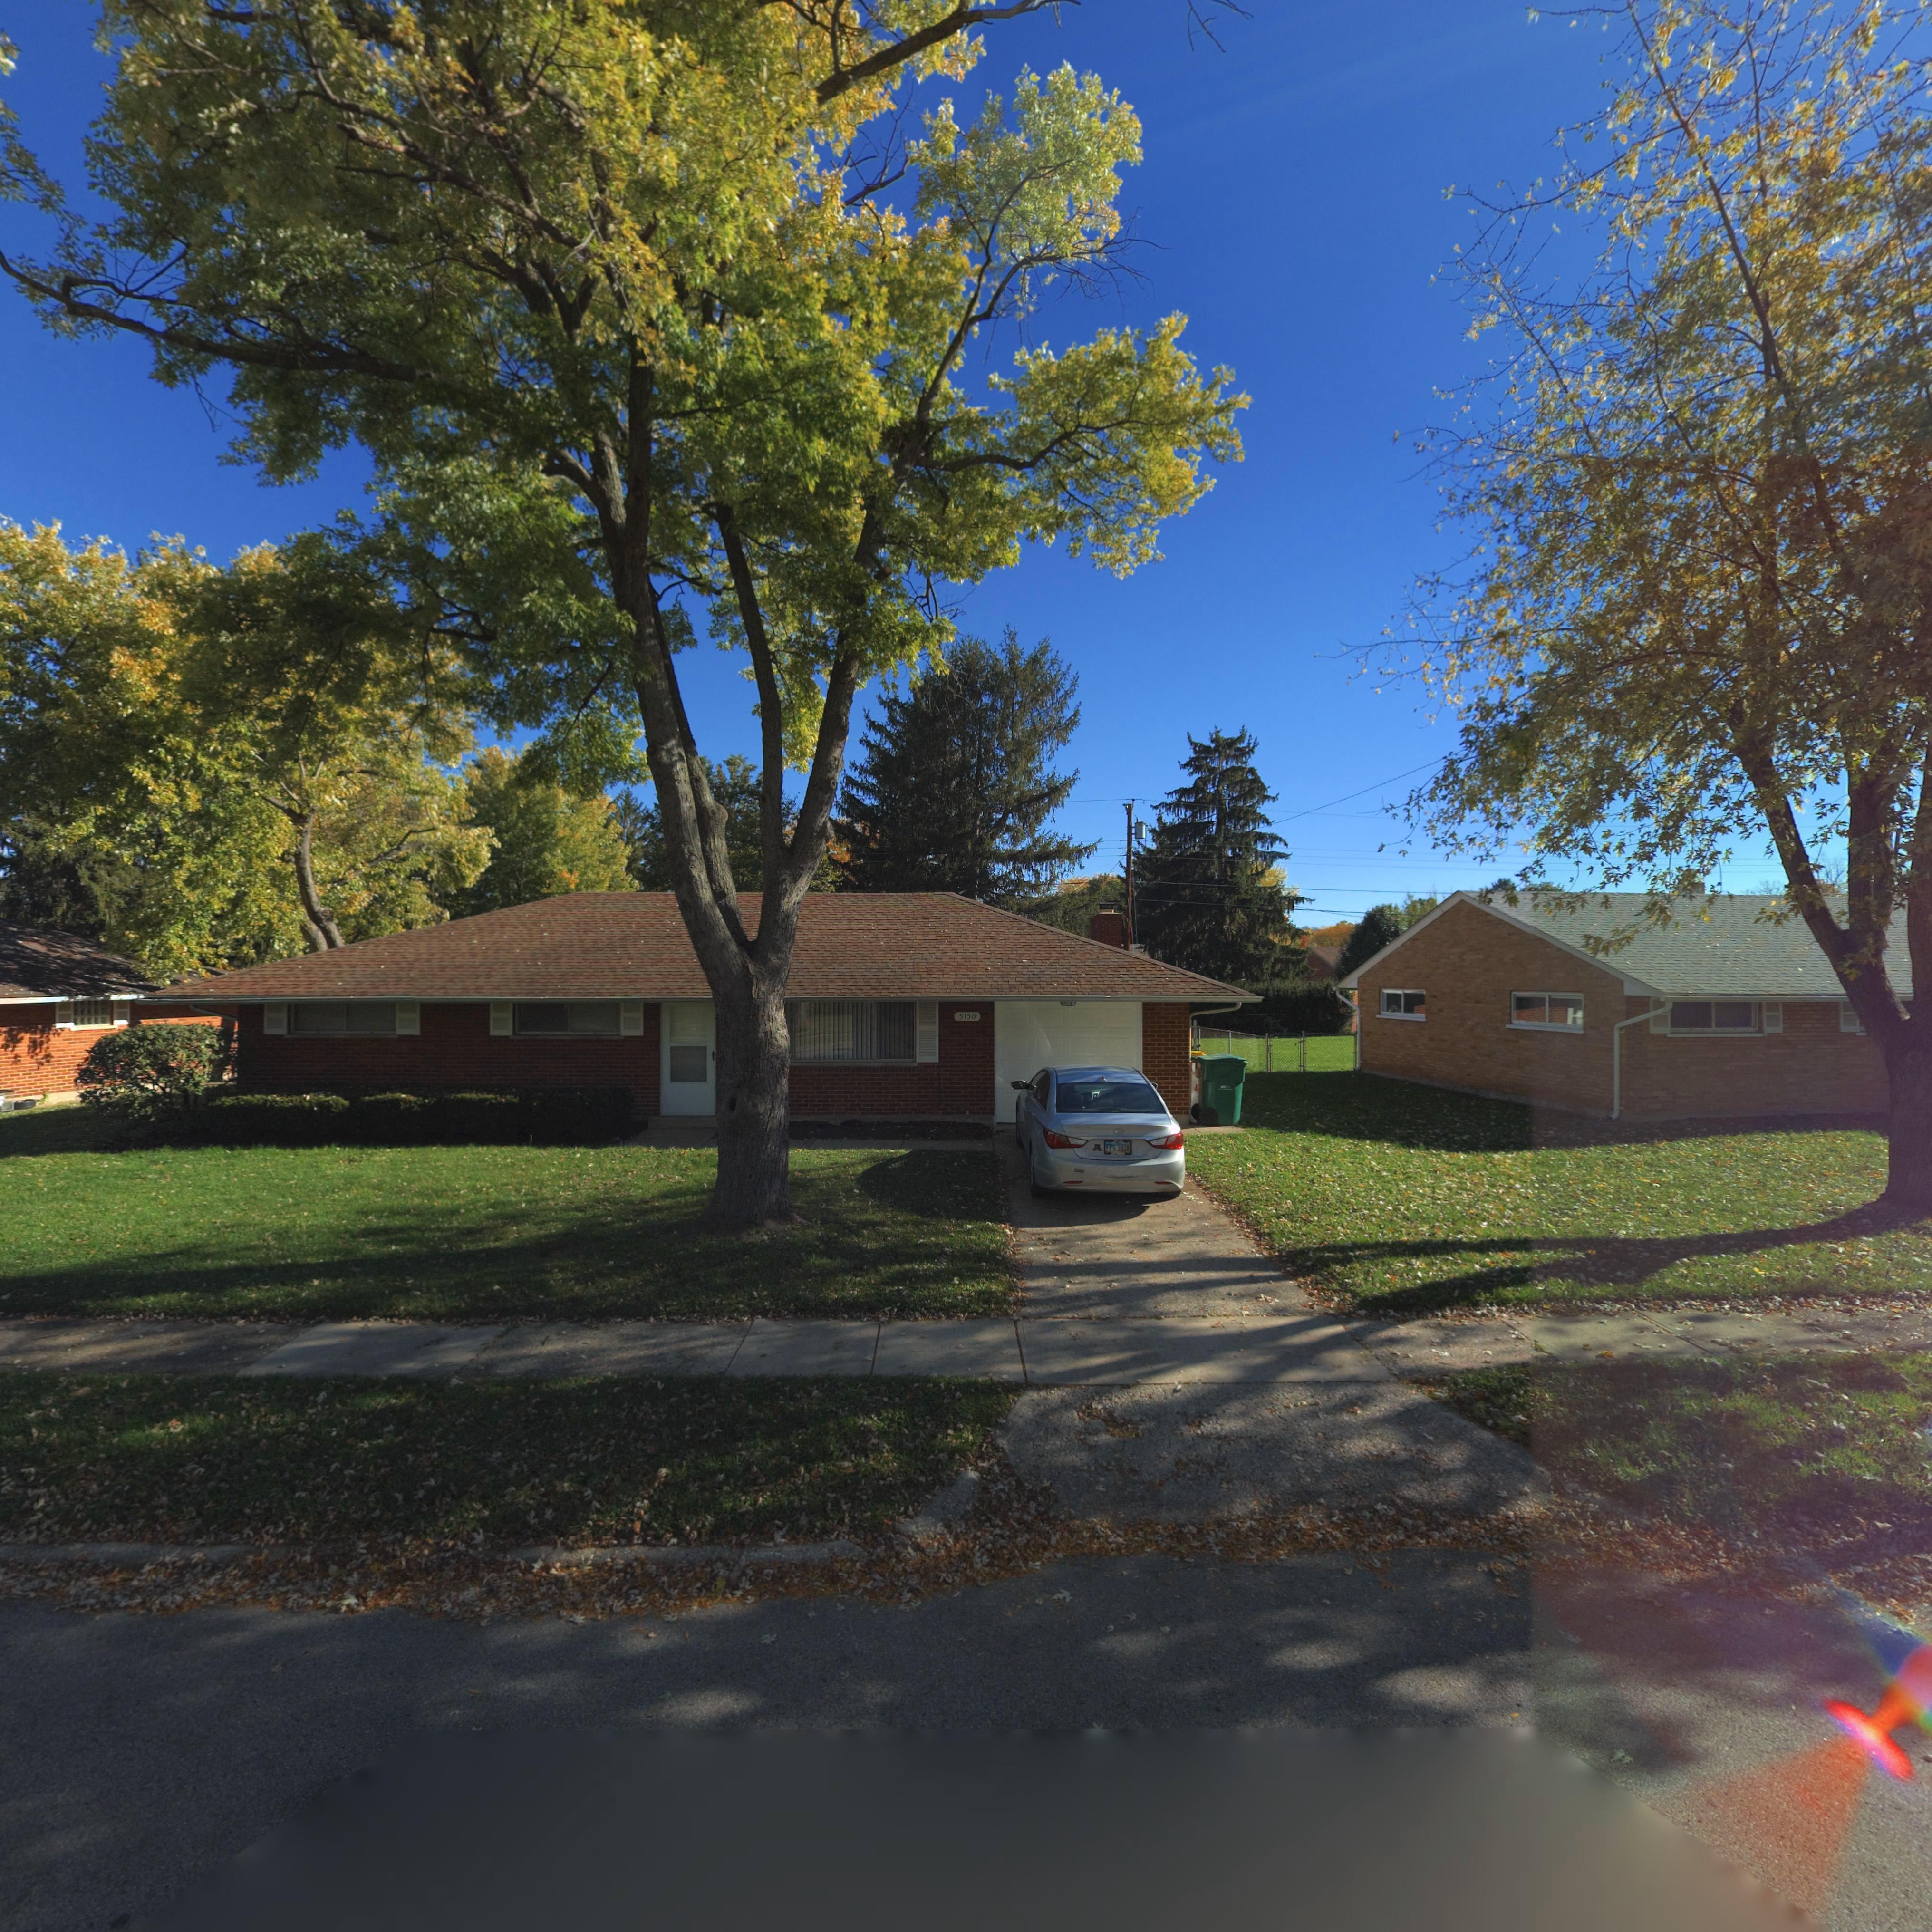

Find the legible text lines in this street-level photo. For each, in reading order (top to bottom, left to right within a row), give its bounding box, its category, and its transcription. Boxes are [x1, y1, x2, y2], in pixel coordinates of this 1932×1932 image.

[957, 1013, 976, 1020] StreetNumber: 5150